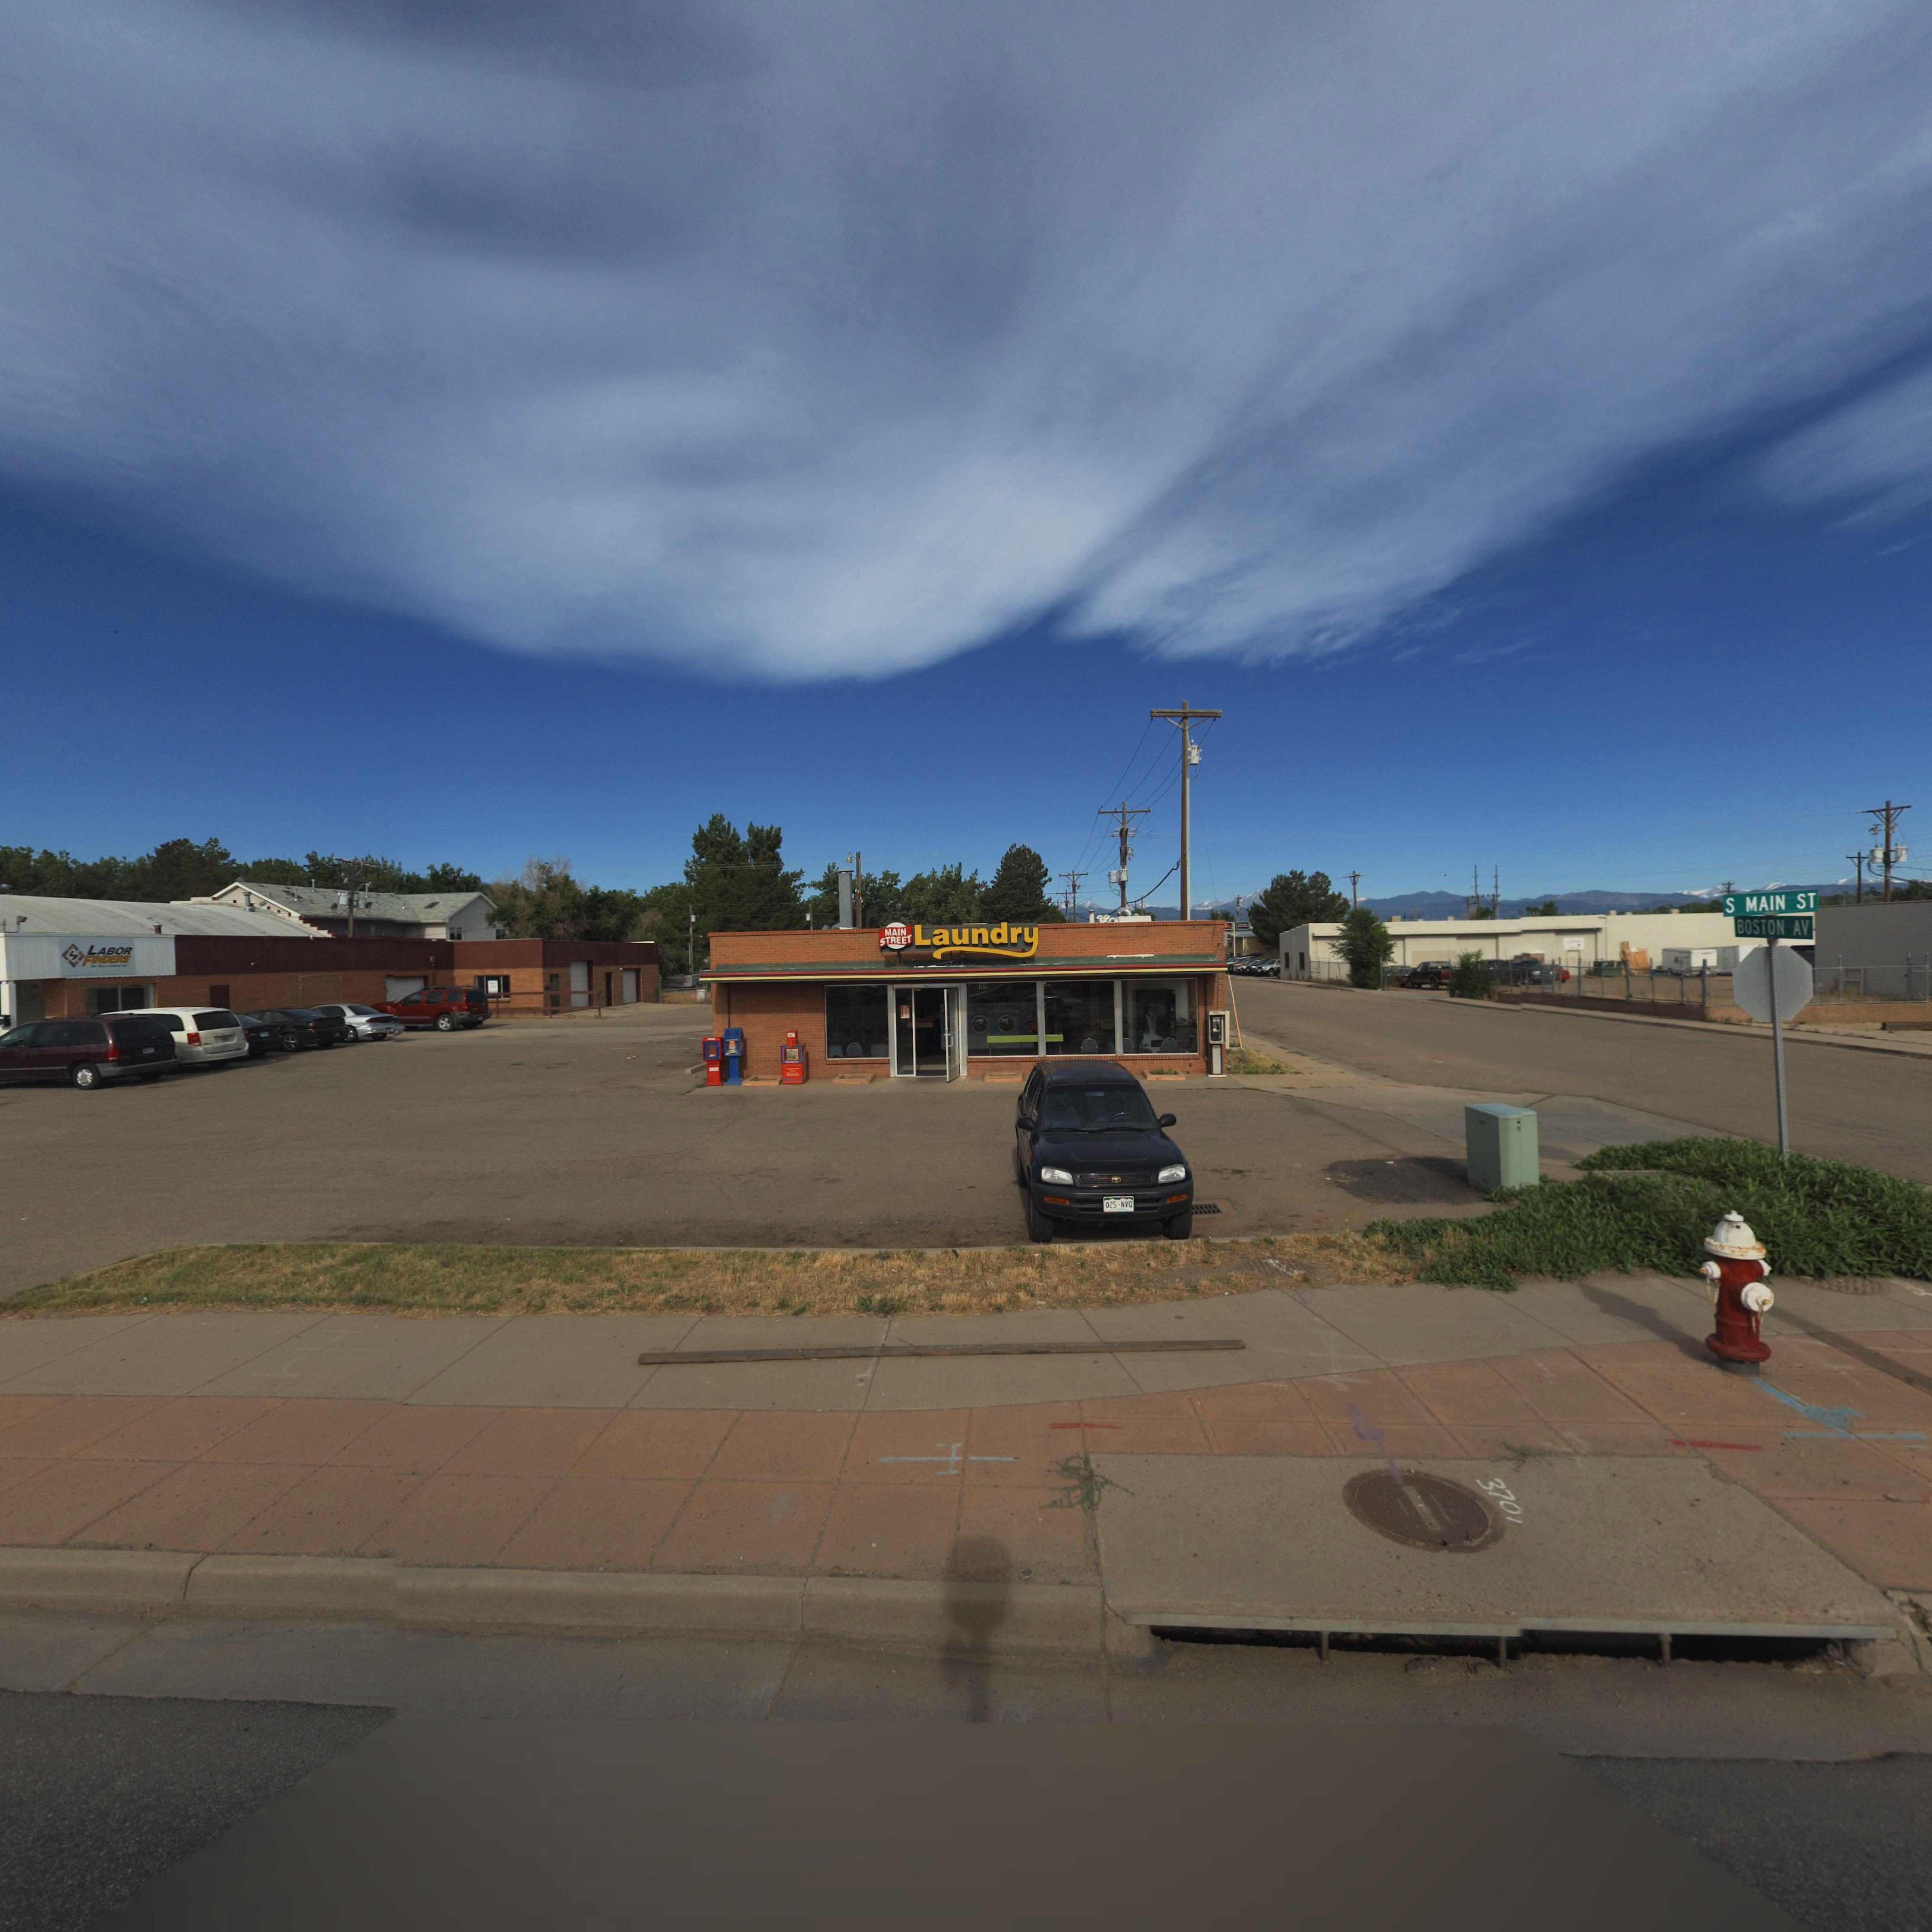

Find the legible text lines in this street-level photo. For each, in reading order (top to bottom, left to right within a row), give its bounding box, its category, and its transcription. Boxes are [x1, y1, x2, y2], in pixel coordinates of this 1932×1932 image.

[1725, 892, 1816, 914] StreetName: S MAIN ST
[885, 927, 906, 936] BusinessName: MAIN
[879, 933, 912, 947] BusinessName: STREET
[914, 922, 1039, 948] BusinessName: Laundry
[1737, 919, 1809, 936] StreetName: BOSTON AV
[86, 945, 133, 955] BusinessName: LABOR
[81, 955, 131, 966] BusinessName: FINDERS
[980, 983, 987, 989] StreetNumber: 101